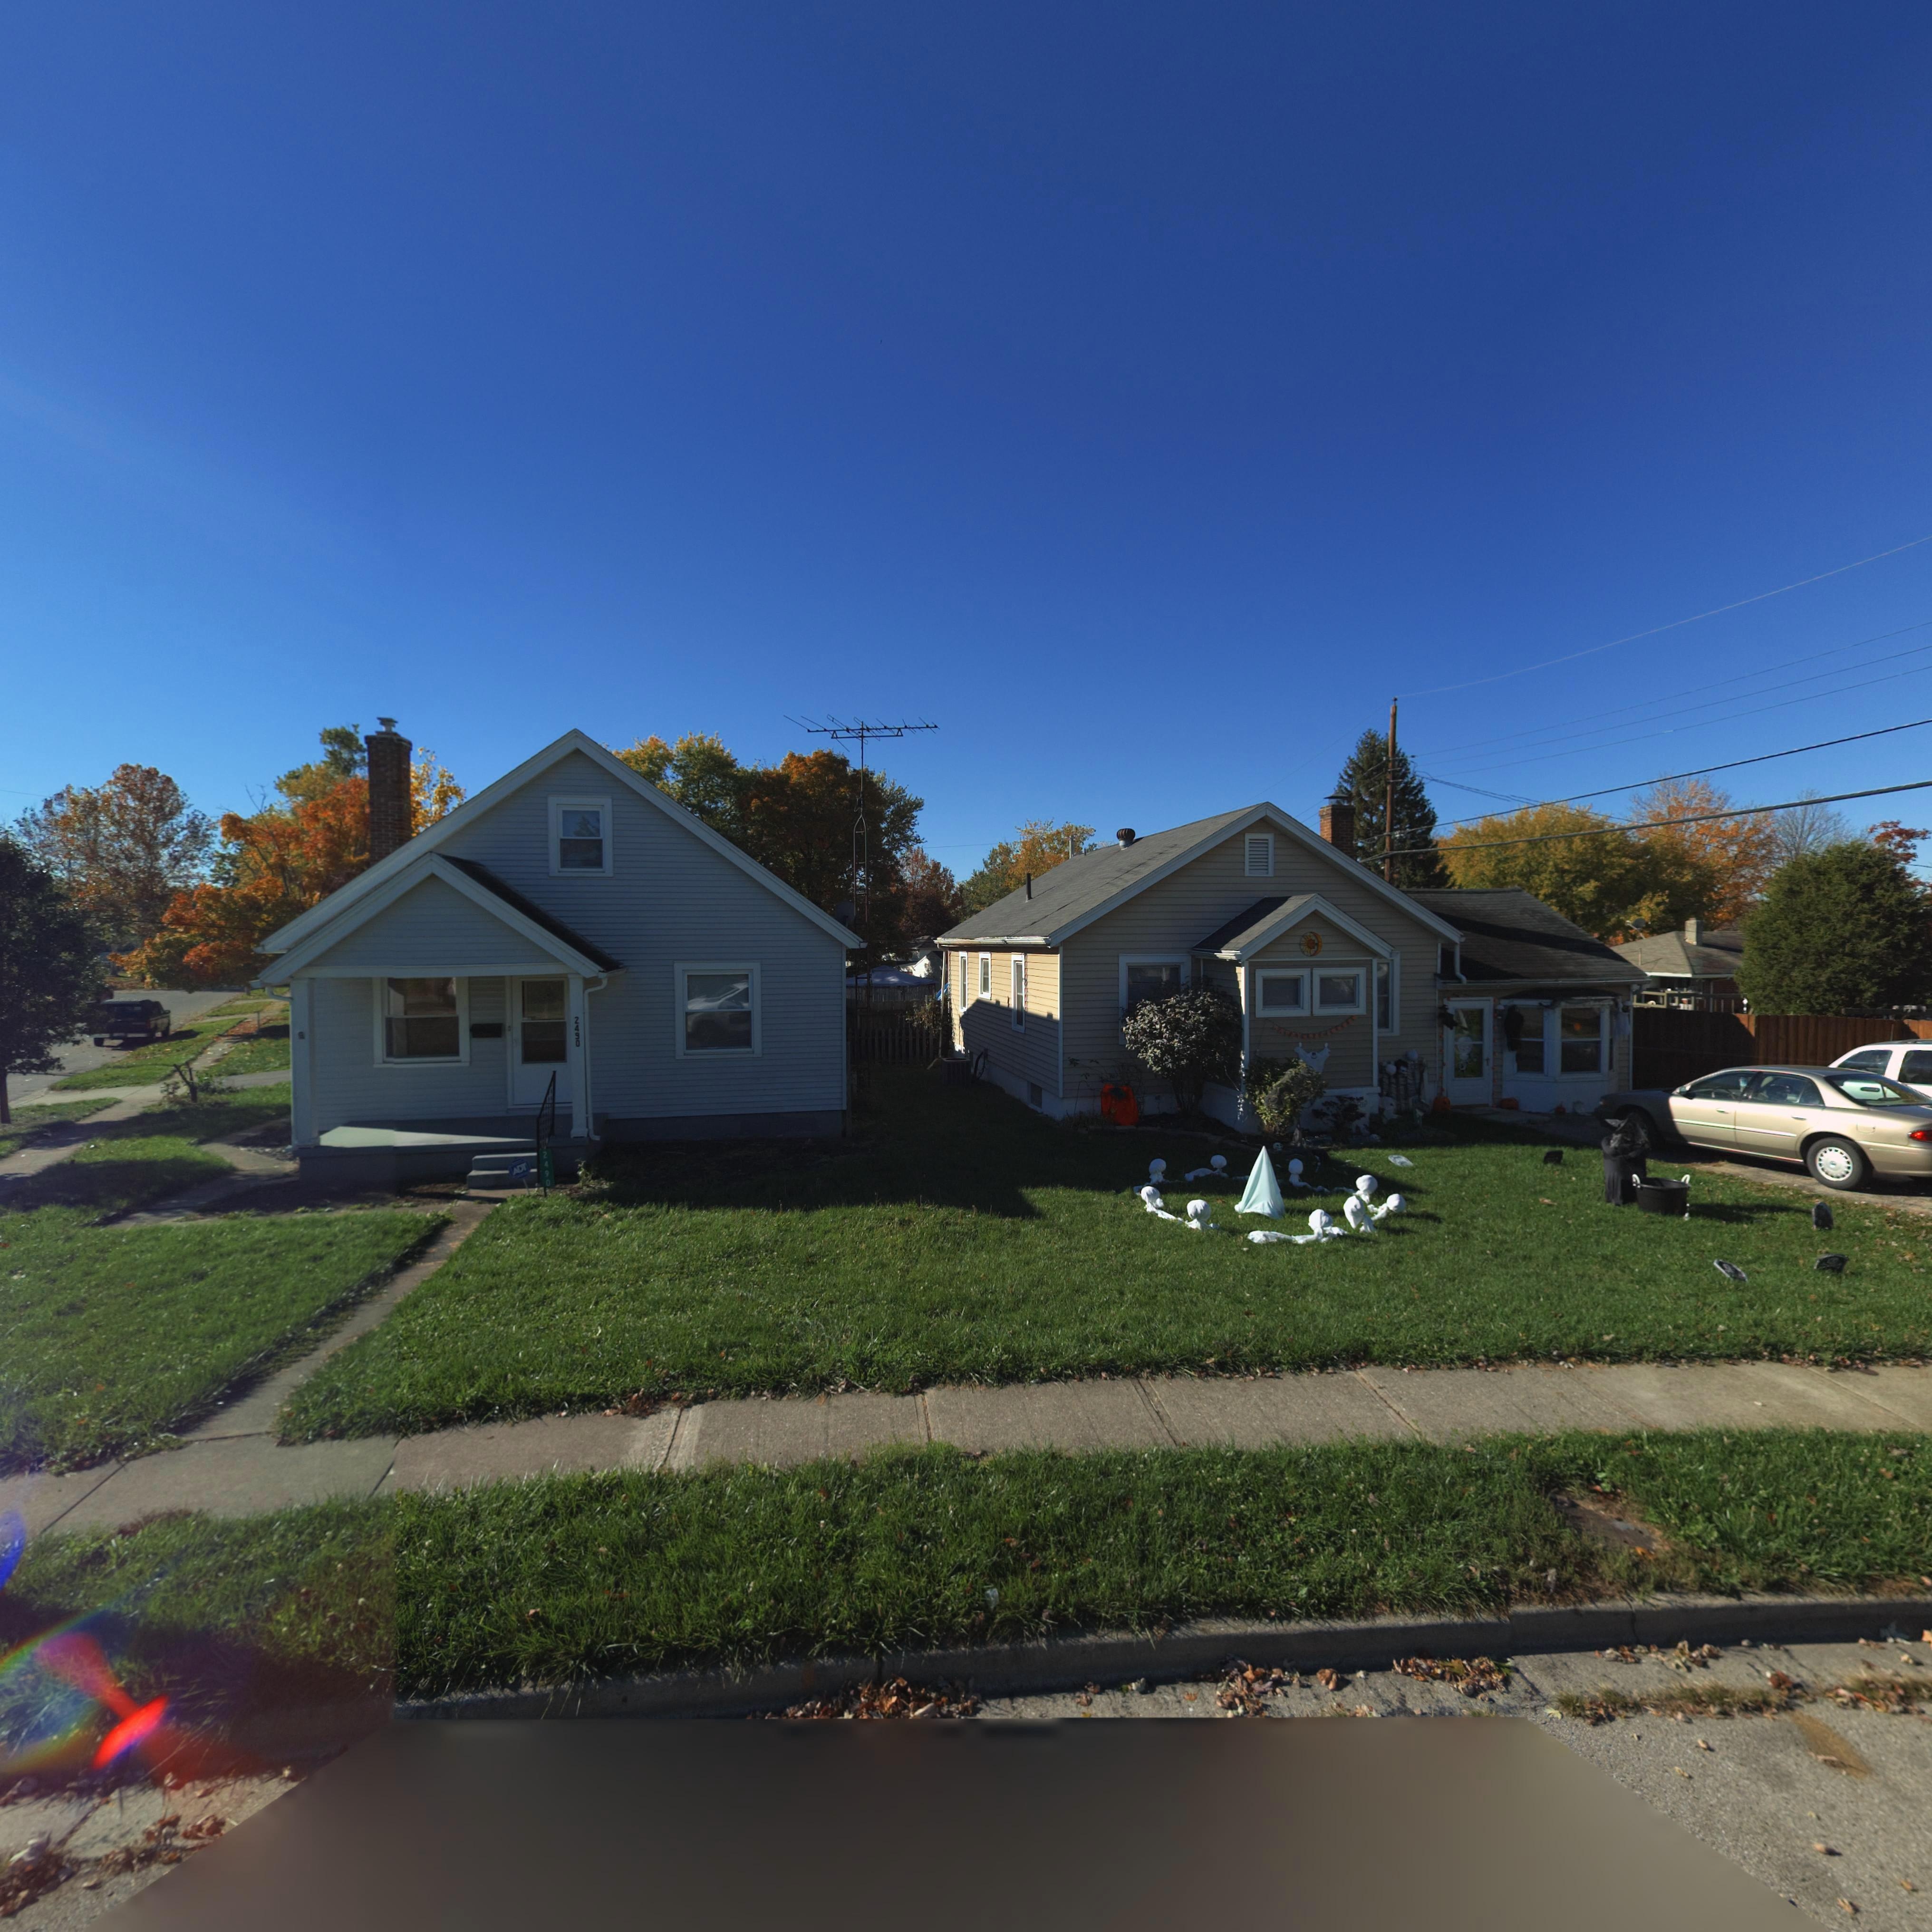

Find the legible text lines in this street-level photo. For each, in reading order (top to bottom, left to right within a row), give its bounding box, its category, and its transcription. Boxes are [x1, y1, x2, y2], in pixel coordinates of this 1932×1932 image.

[573, 1015, 581, 1048] StreetNumber: 2490
[541, 1150, 552, 1188] StreetNumber: 2490